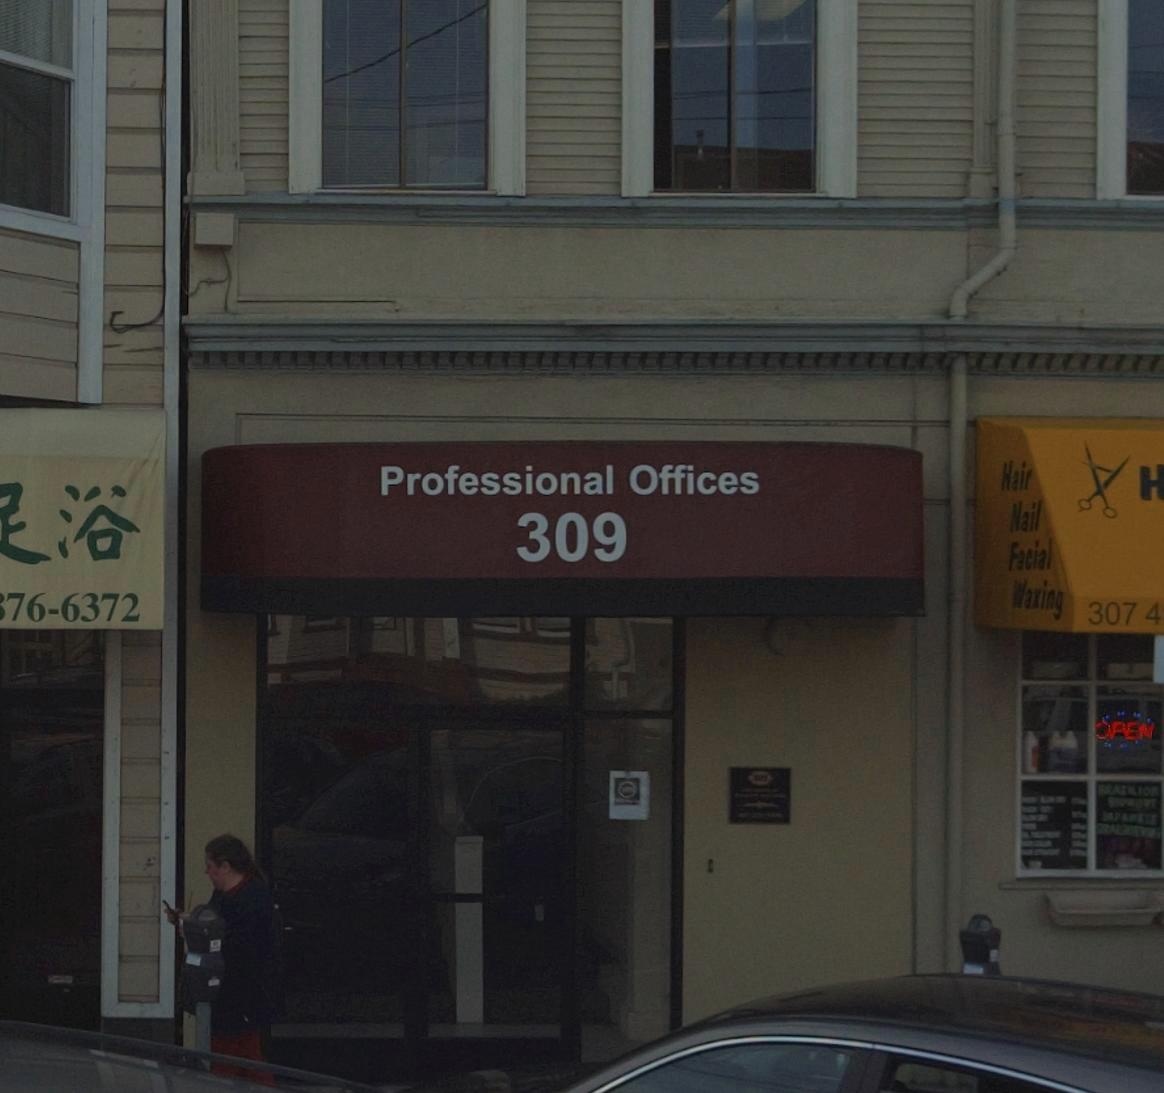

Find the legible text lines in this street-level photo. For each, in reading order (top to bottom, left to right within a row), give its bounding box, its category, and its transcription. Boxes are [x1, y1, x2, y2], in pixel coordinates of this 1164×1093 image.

[378, 462, 762, 498] None: Professional Offices
[999, 459, 1034, 493] None: Hair
[1008, 497, 1046, 534] None: Nail
[514, 510, 629, 566] StreetNumber: 309
[1007, 536, 1056, 573] None: Facial
[5, 589, 144, 626] None: 76-6372
[1011, 576, 1066, 624] None: Waxing
[1086, 599, 1162, 627] None: 307 4
[1107, 718, 1157, 742] None: PEN